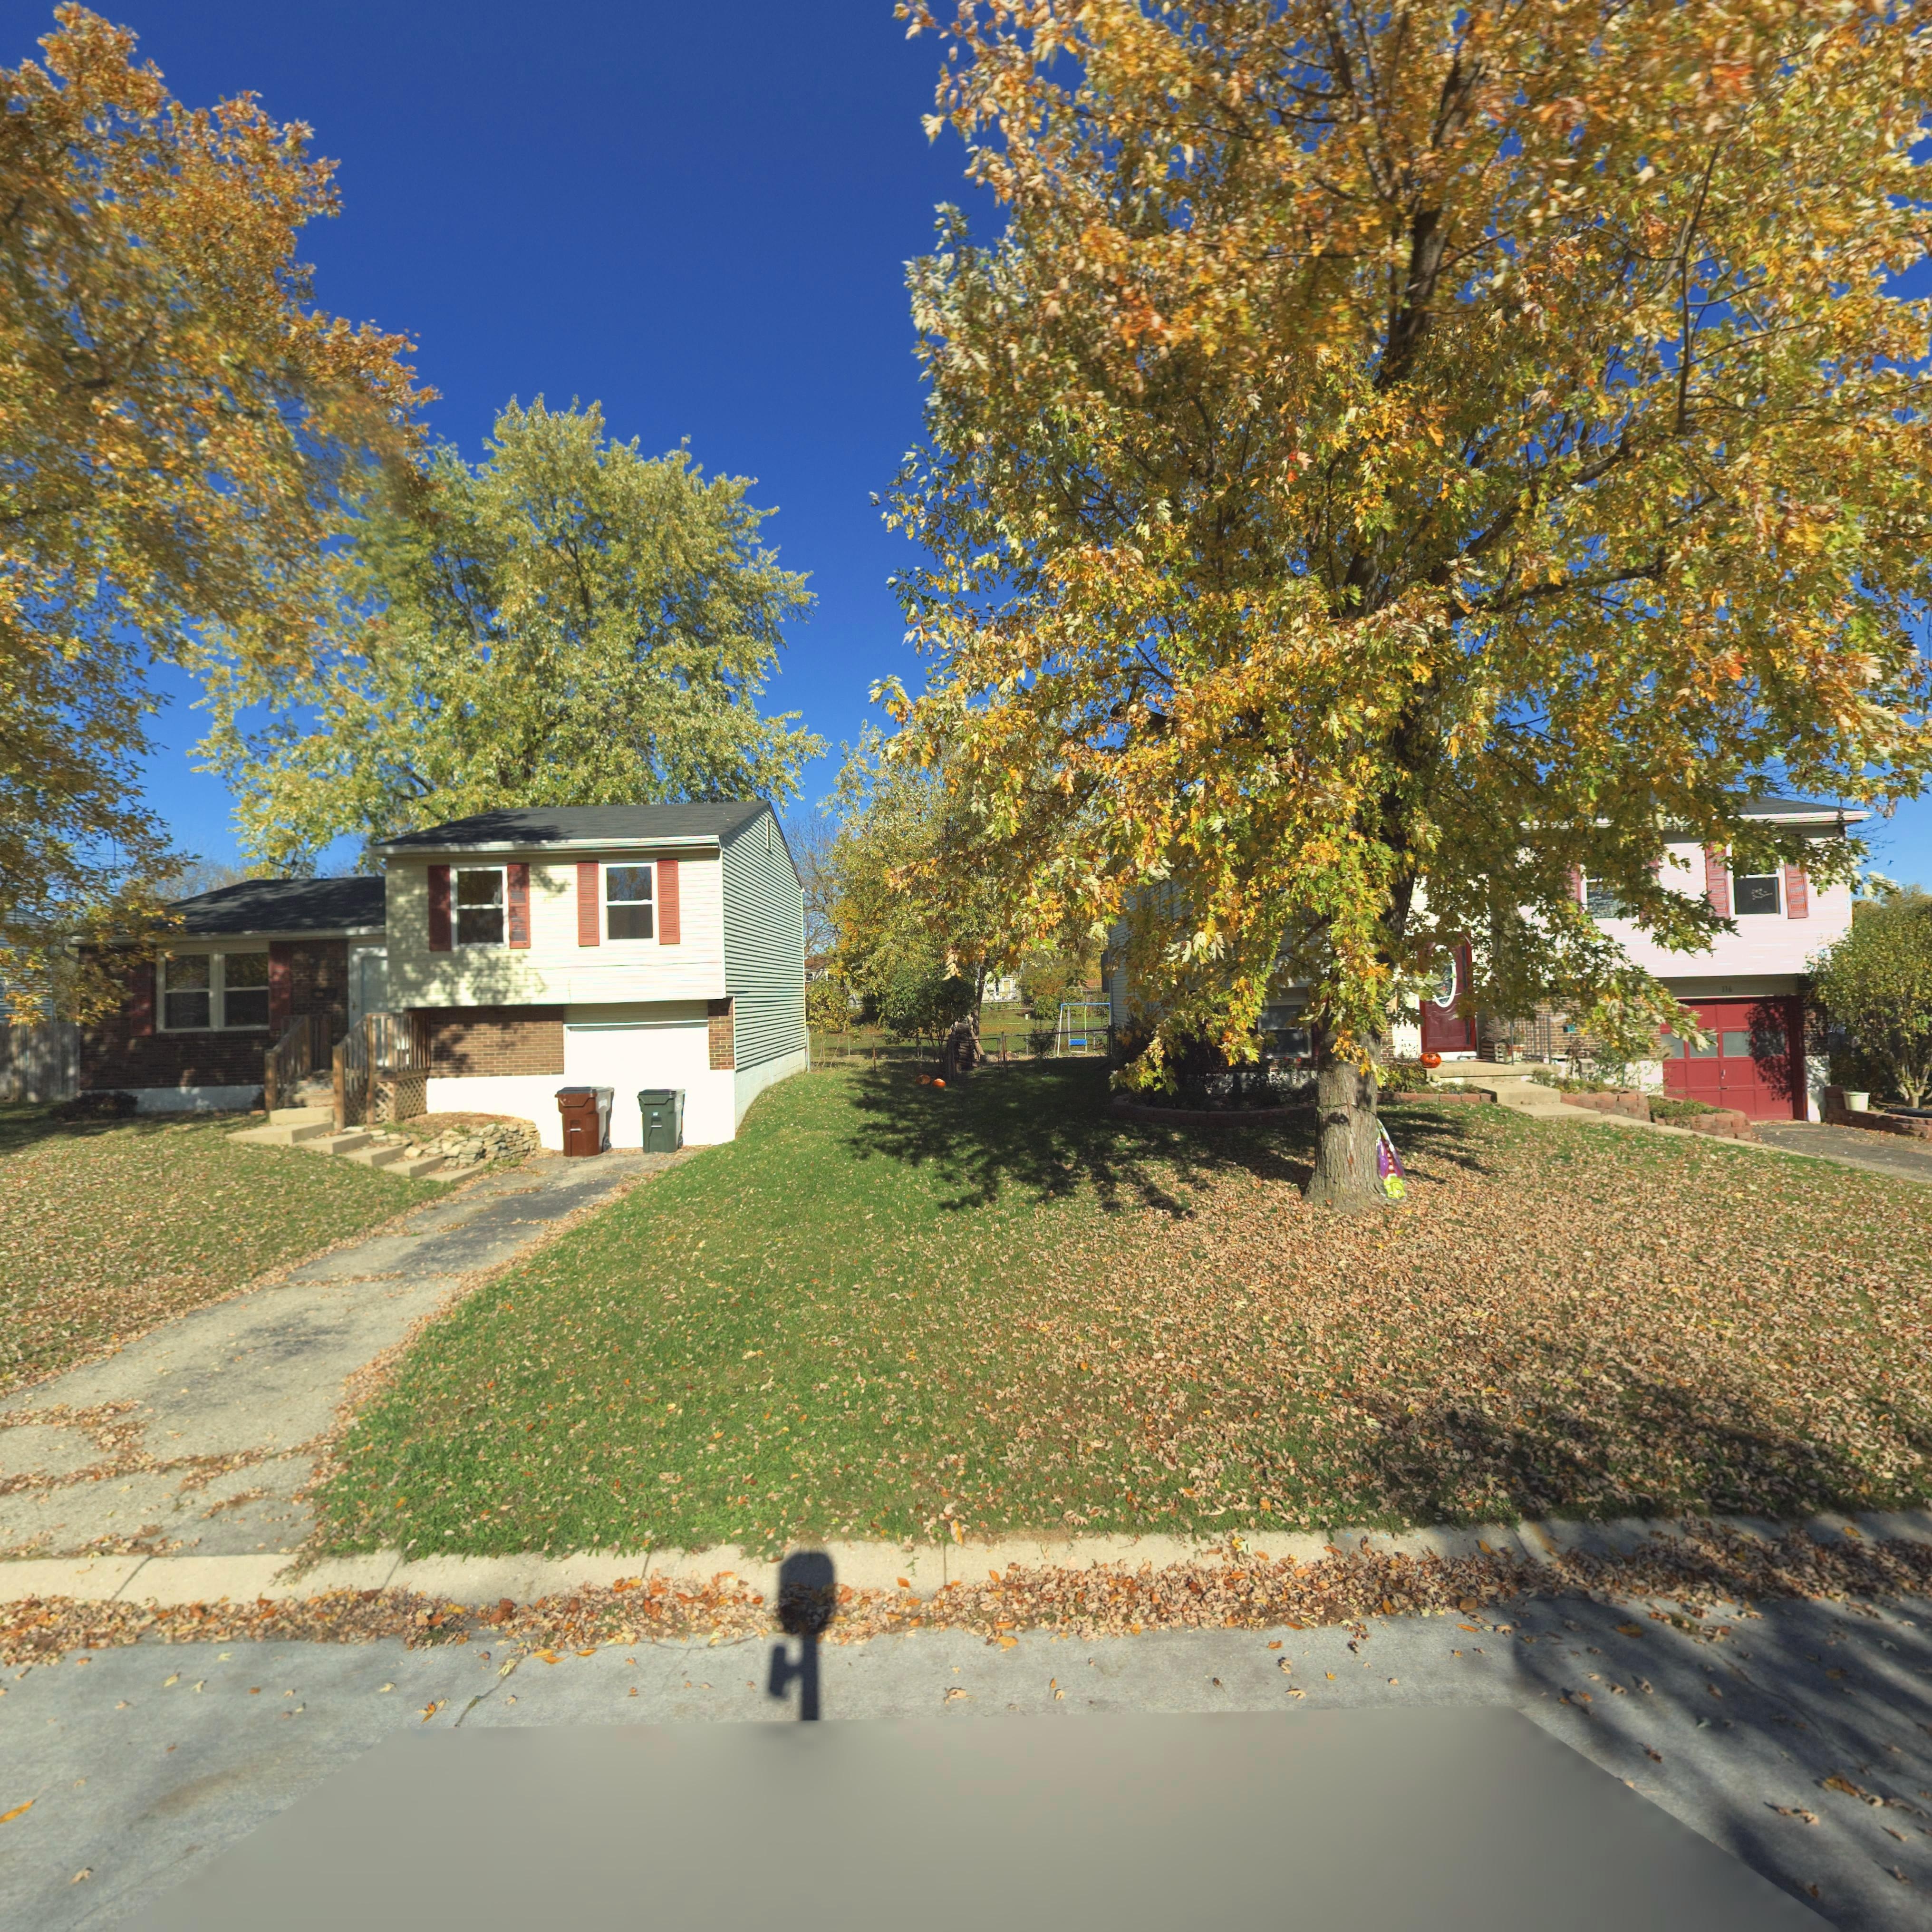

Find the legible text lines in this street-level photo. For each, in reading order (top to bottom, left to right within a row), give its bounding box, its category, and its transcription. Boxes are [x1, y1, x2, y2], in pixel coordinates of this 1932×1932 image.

[1720, 985, 1734, 994] StreetNumber: 116